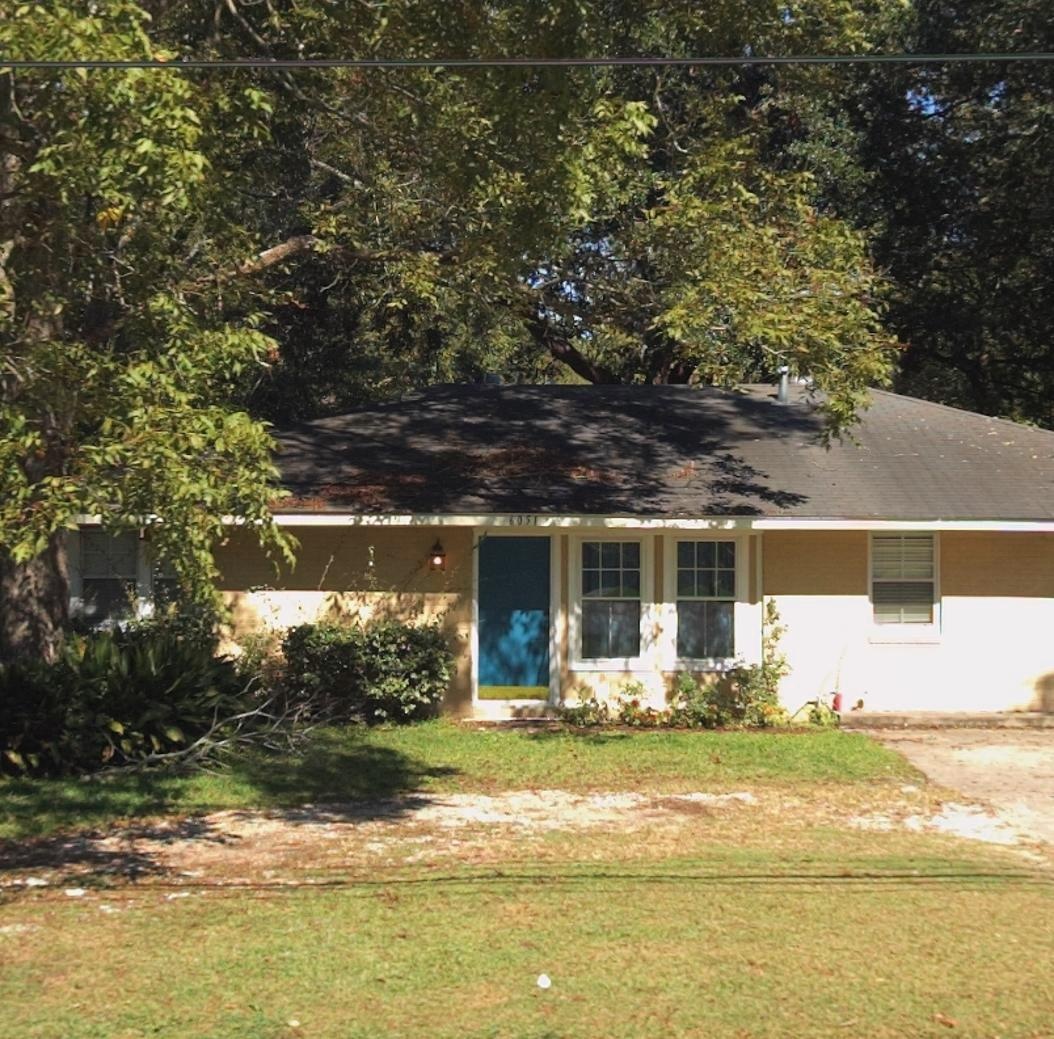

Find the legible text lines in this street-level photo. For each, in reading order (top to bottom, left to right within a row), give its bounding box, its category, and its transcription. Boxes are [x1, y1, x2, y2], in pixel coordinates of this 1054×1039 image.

[507, 513, 539, 528] StreetNumber: 6051